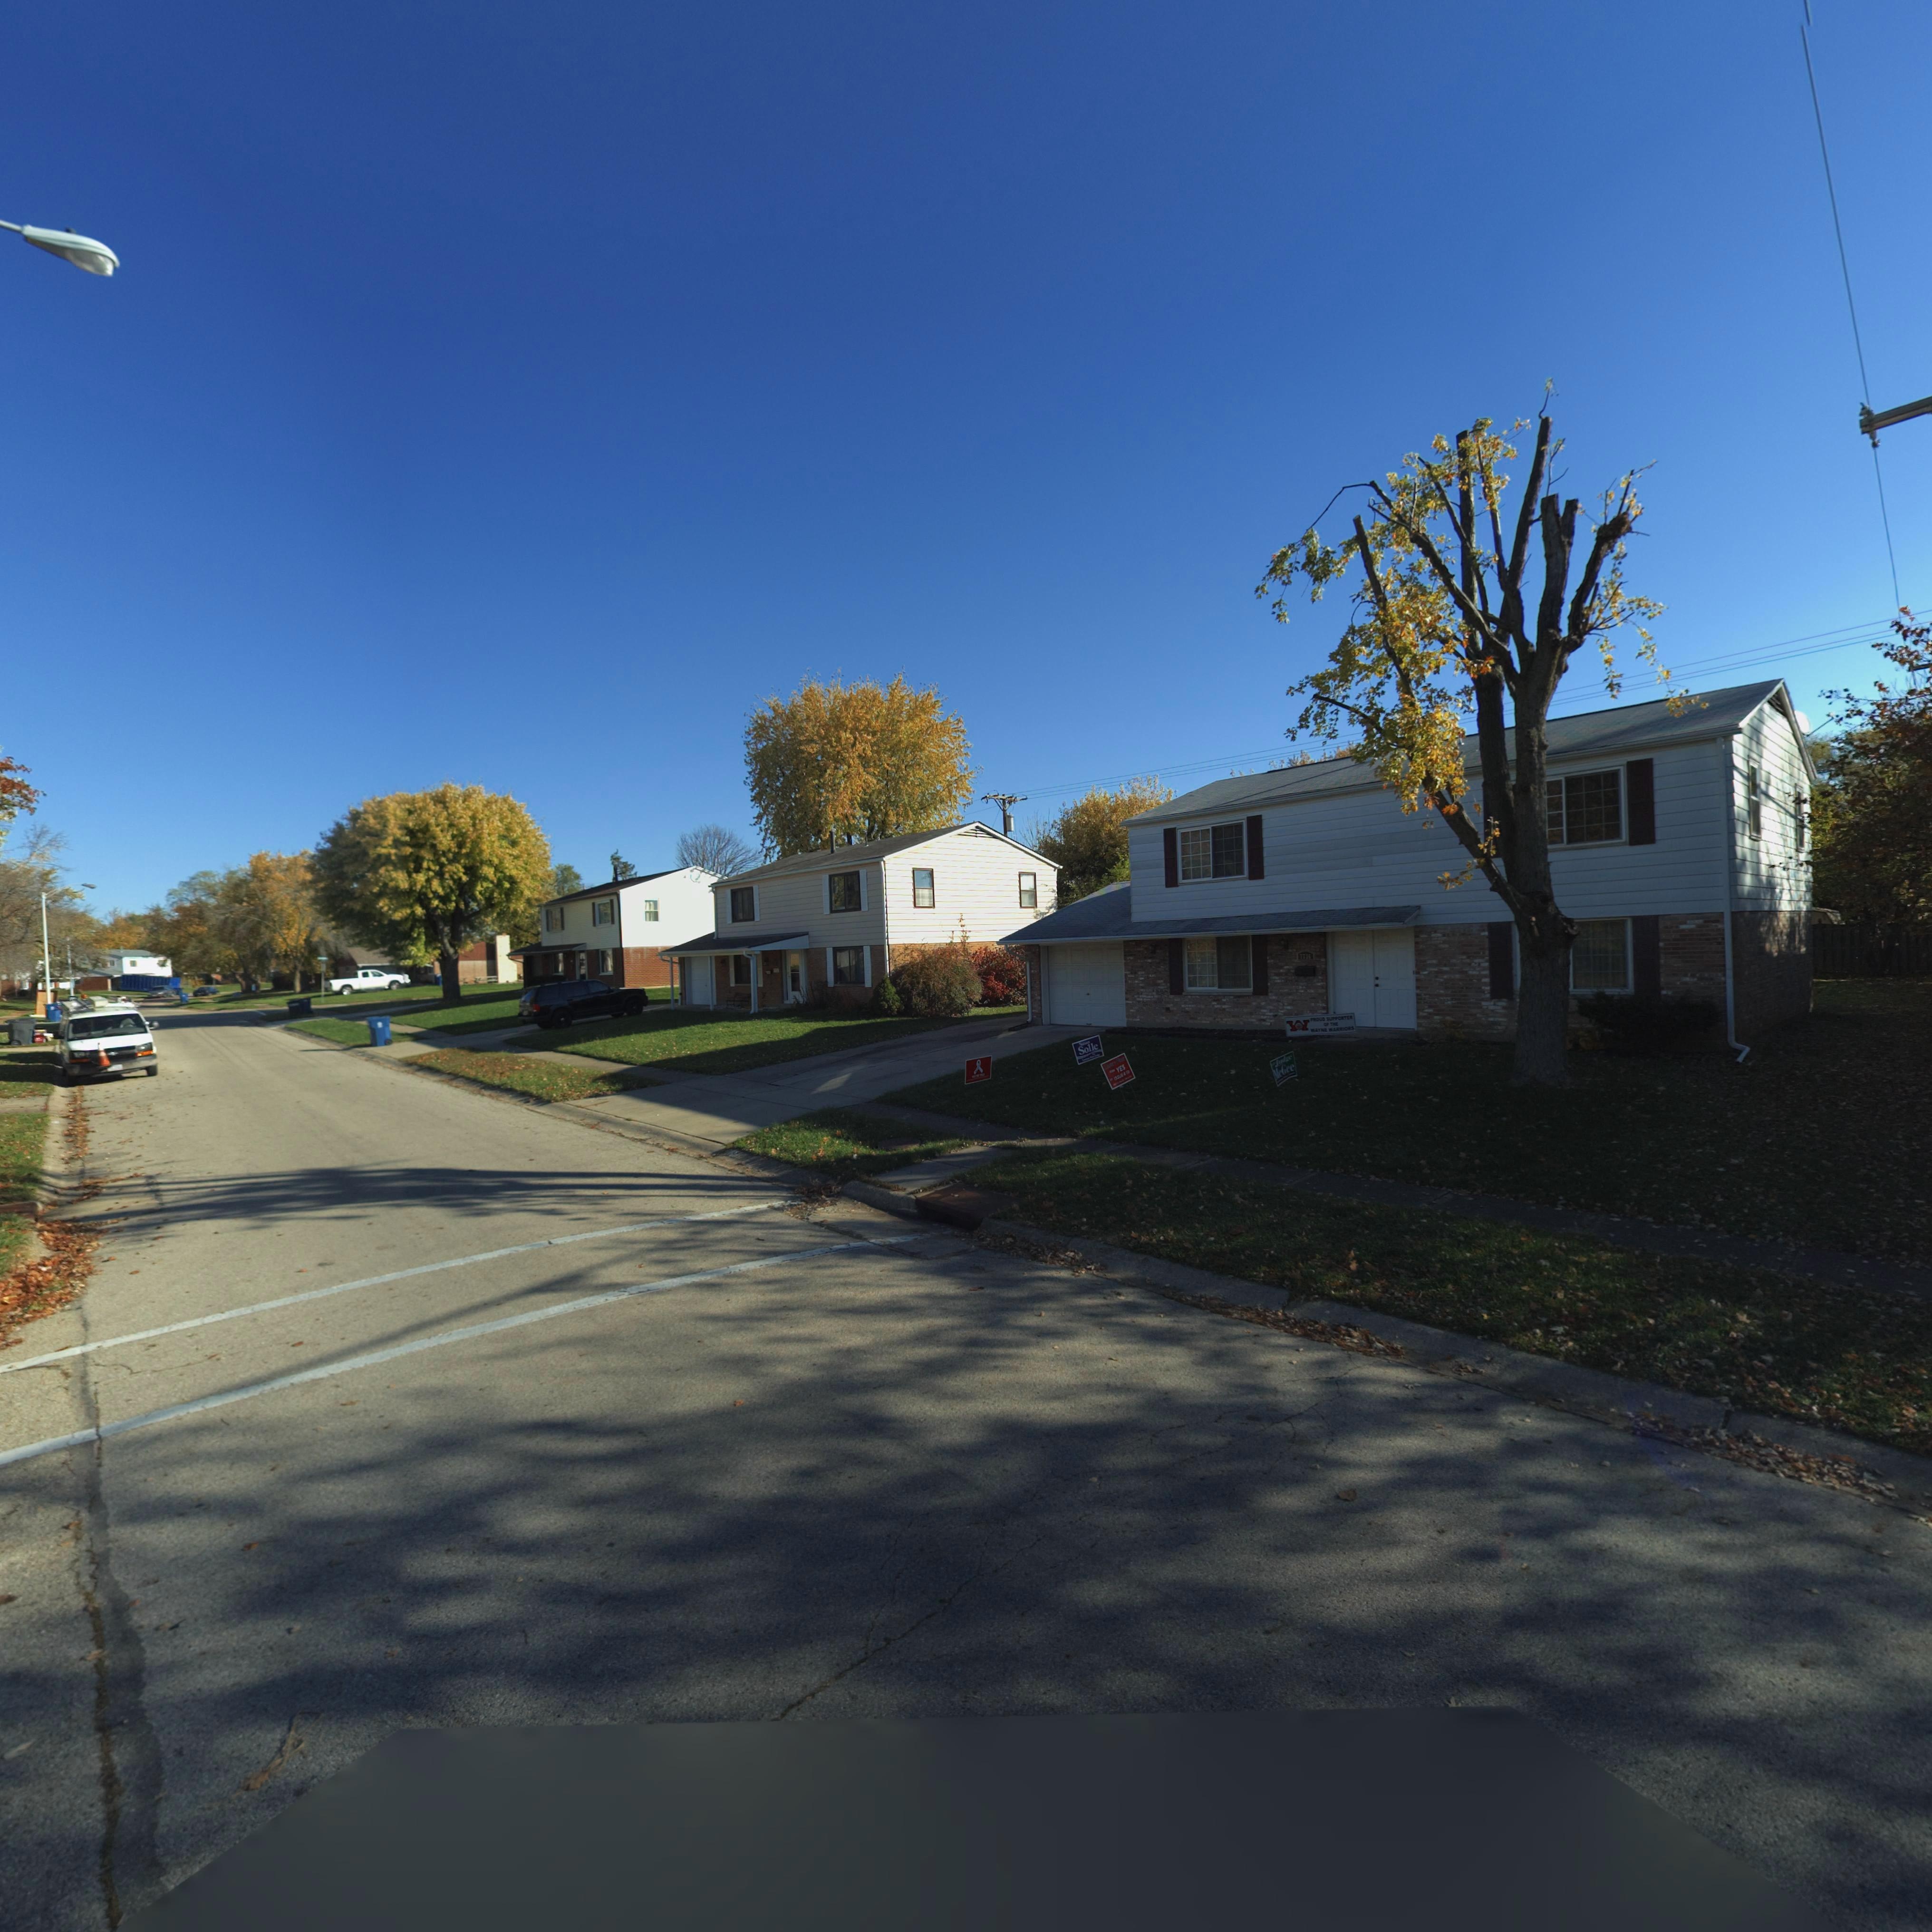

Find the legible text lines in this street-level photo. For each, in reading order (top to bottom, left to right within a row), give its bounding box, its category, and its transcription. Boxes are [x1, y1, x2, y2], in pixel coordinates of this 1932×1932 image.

[1299, 953, 1312, 960] StreetNumber: 7***